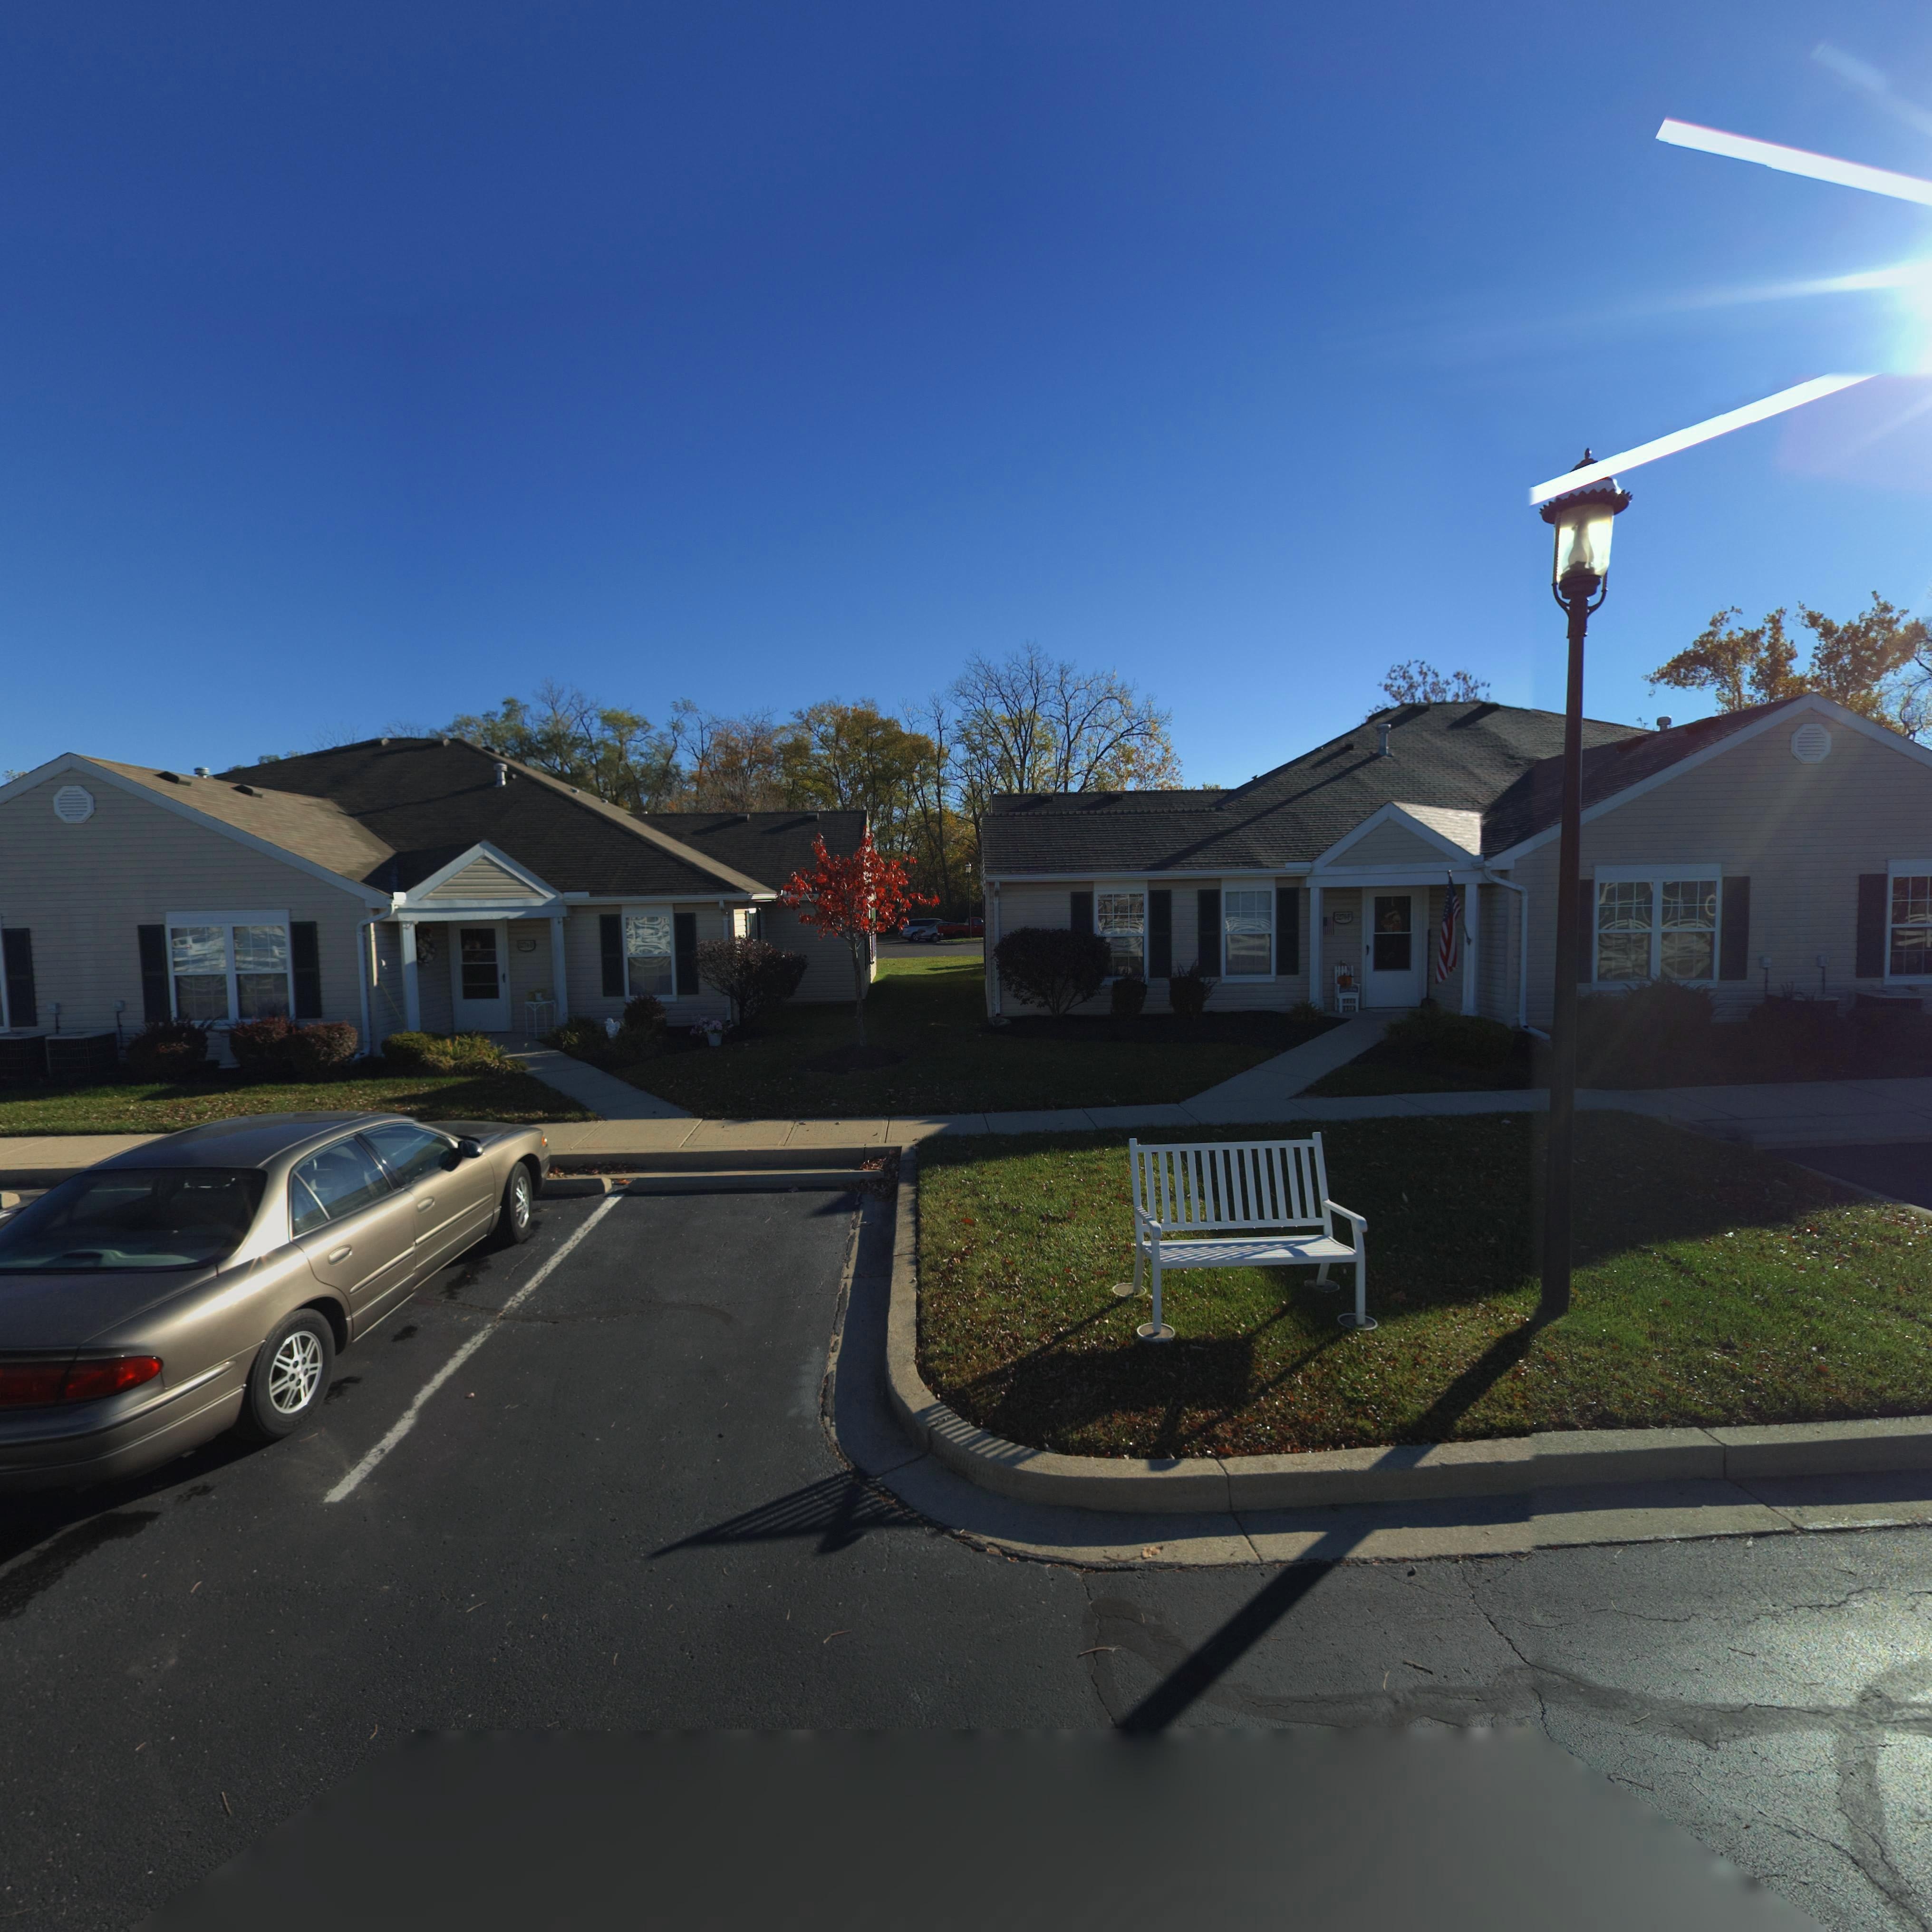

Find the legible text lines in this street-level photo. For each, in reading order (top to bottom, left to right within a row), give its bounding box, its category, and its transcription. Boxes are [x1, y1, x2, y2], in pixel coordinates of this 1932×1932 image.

[1334, 912, 1352, 921] StreetNumber: **7**